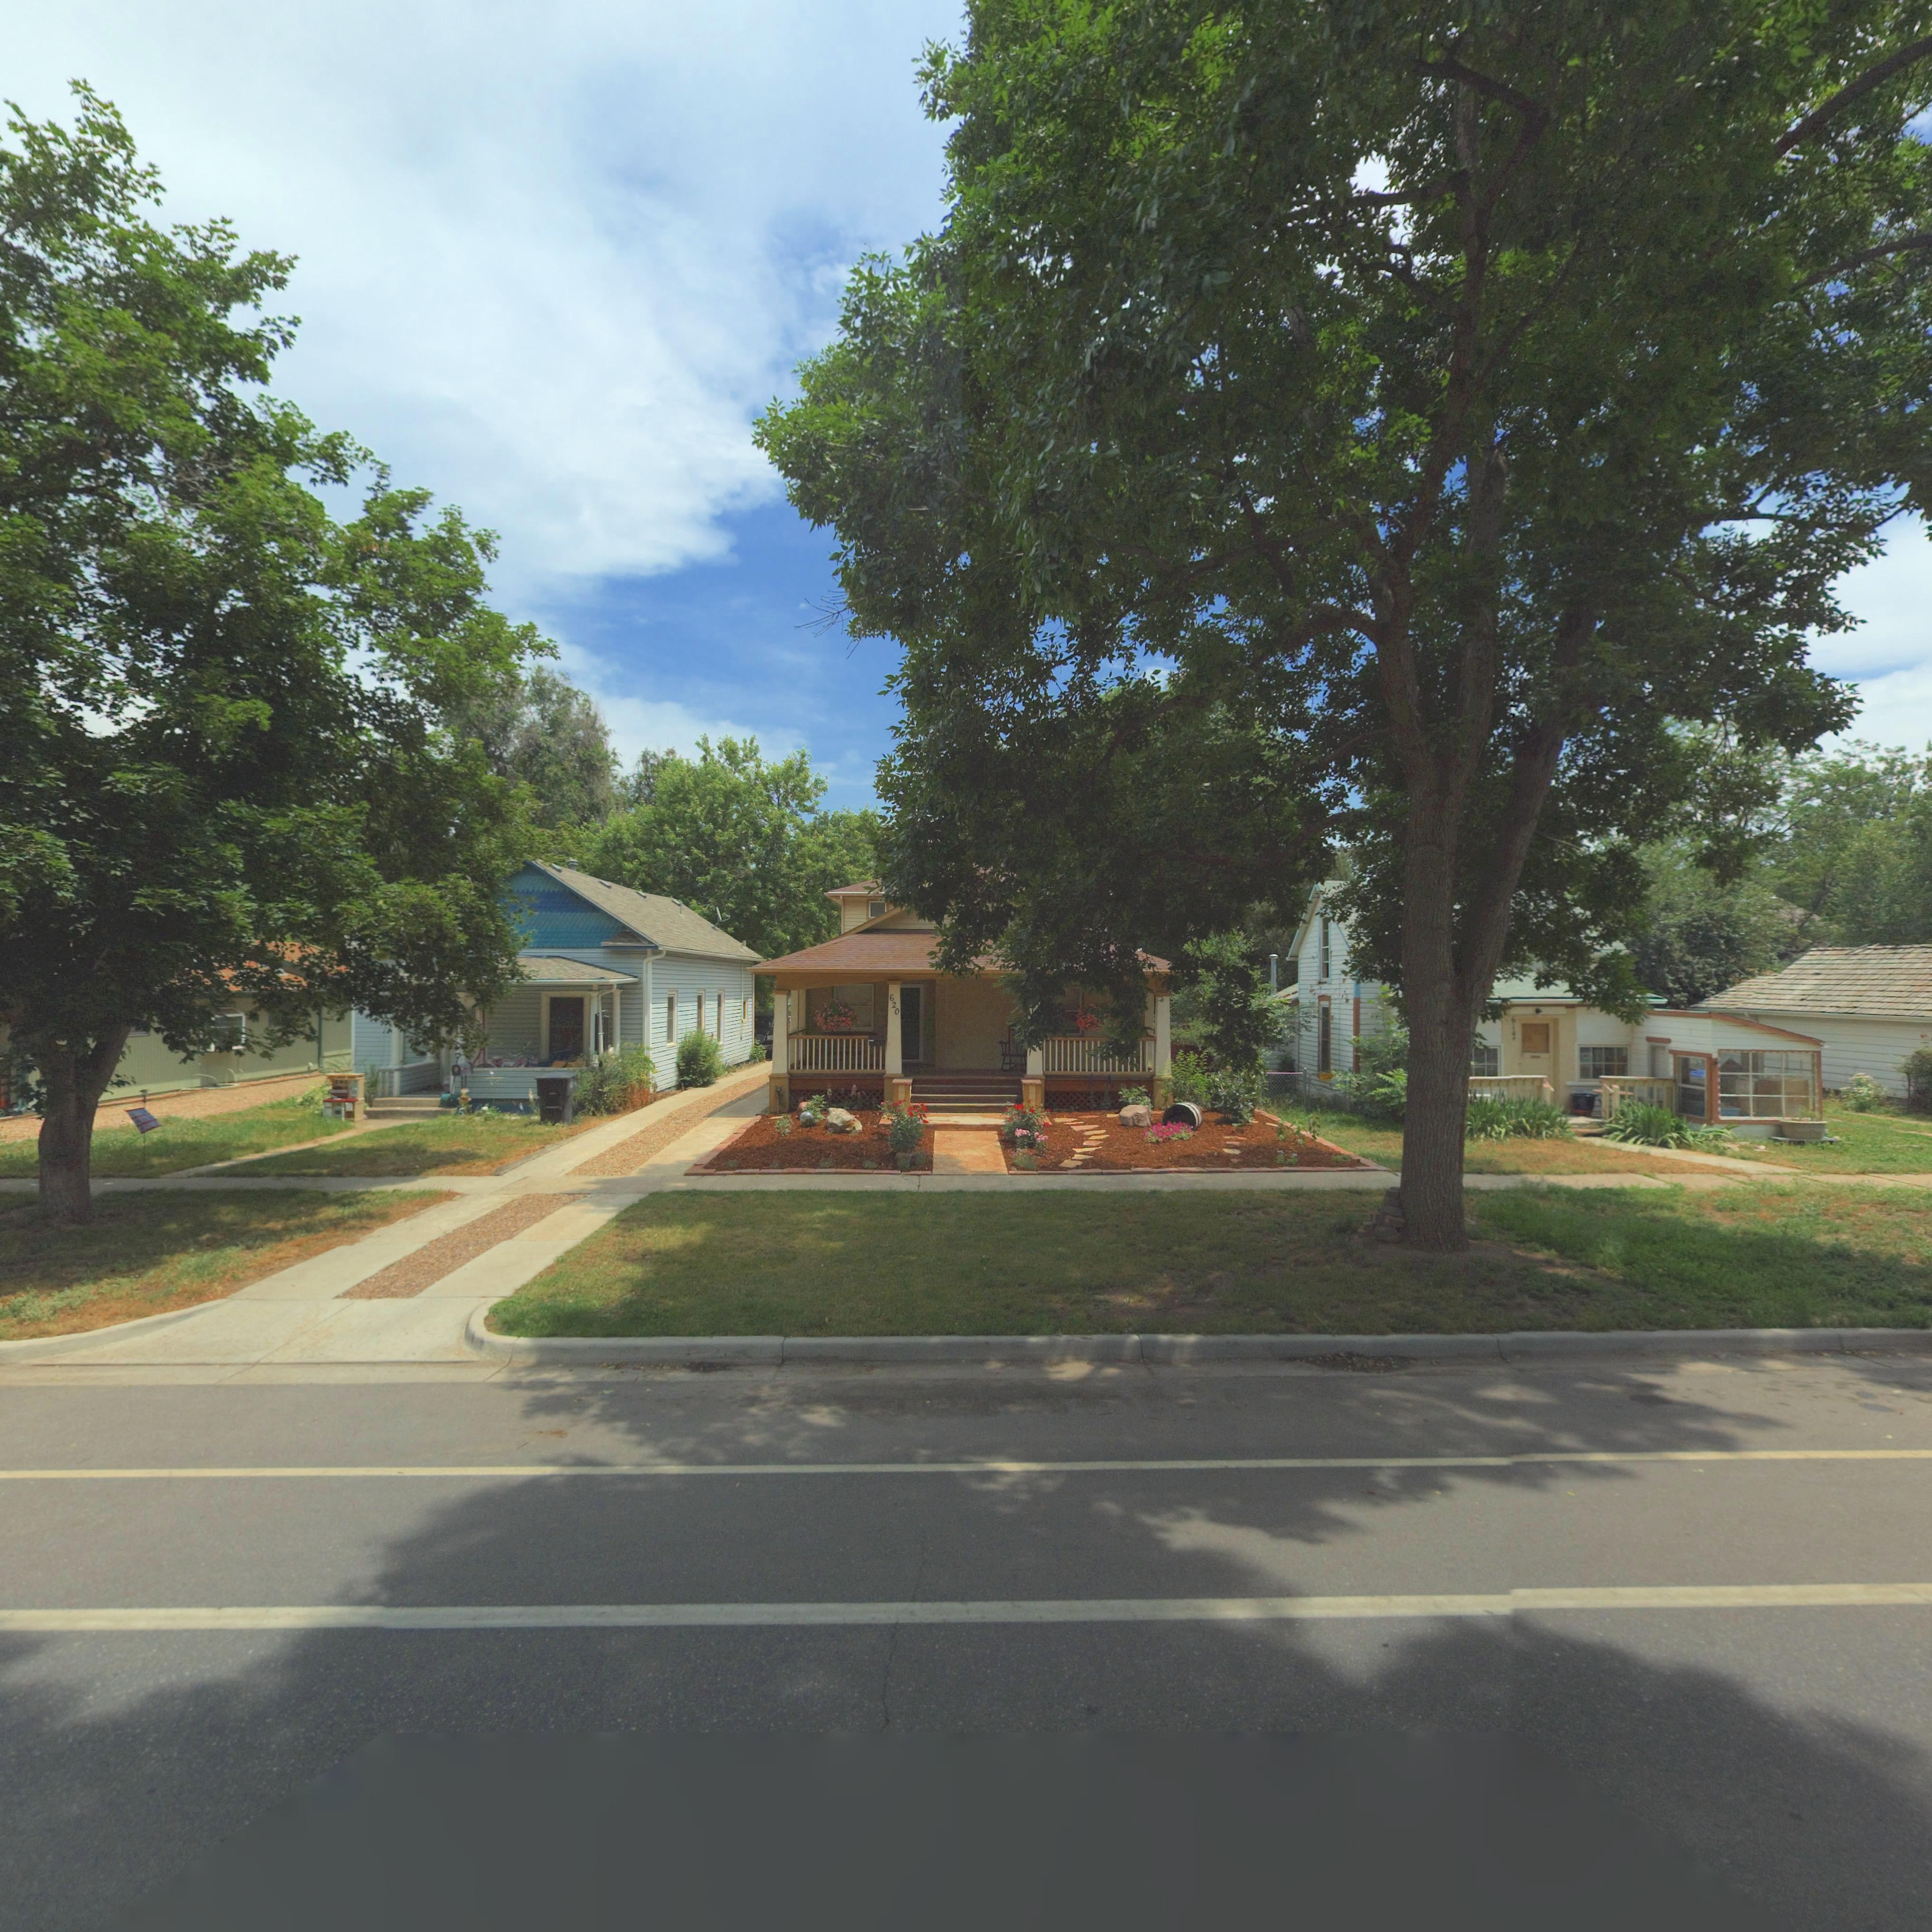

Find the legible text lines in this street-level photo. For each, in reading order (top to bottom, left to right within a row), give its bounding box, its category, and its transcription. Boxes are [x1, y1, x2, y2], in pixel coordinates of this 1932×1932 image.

[889, 993, 899, 1015] StreetNumber: 620
[1510, 1015, 1517, 1040] StreetNumber: 61*